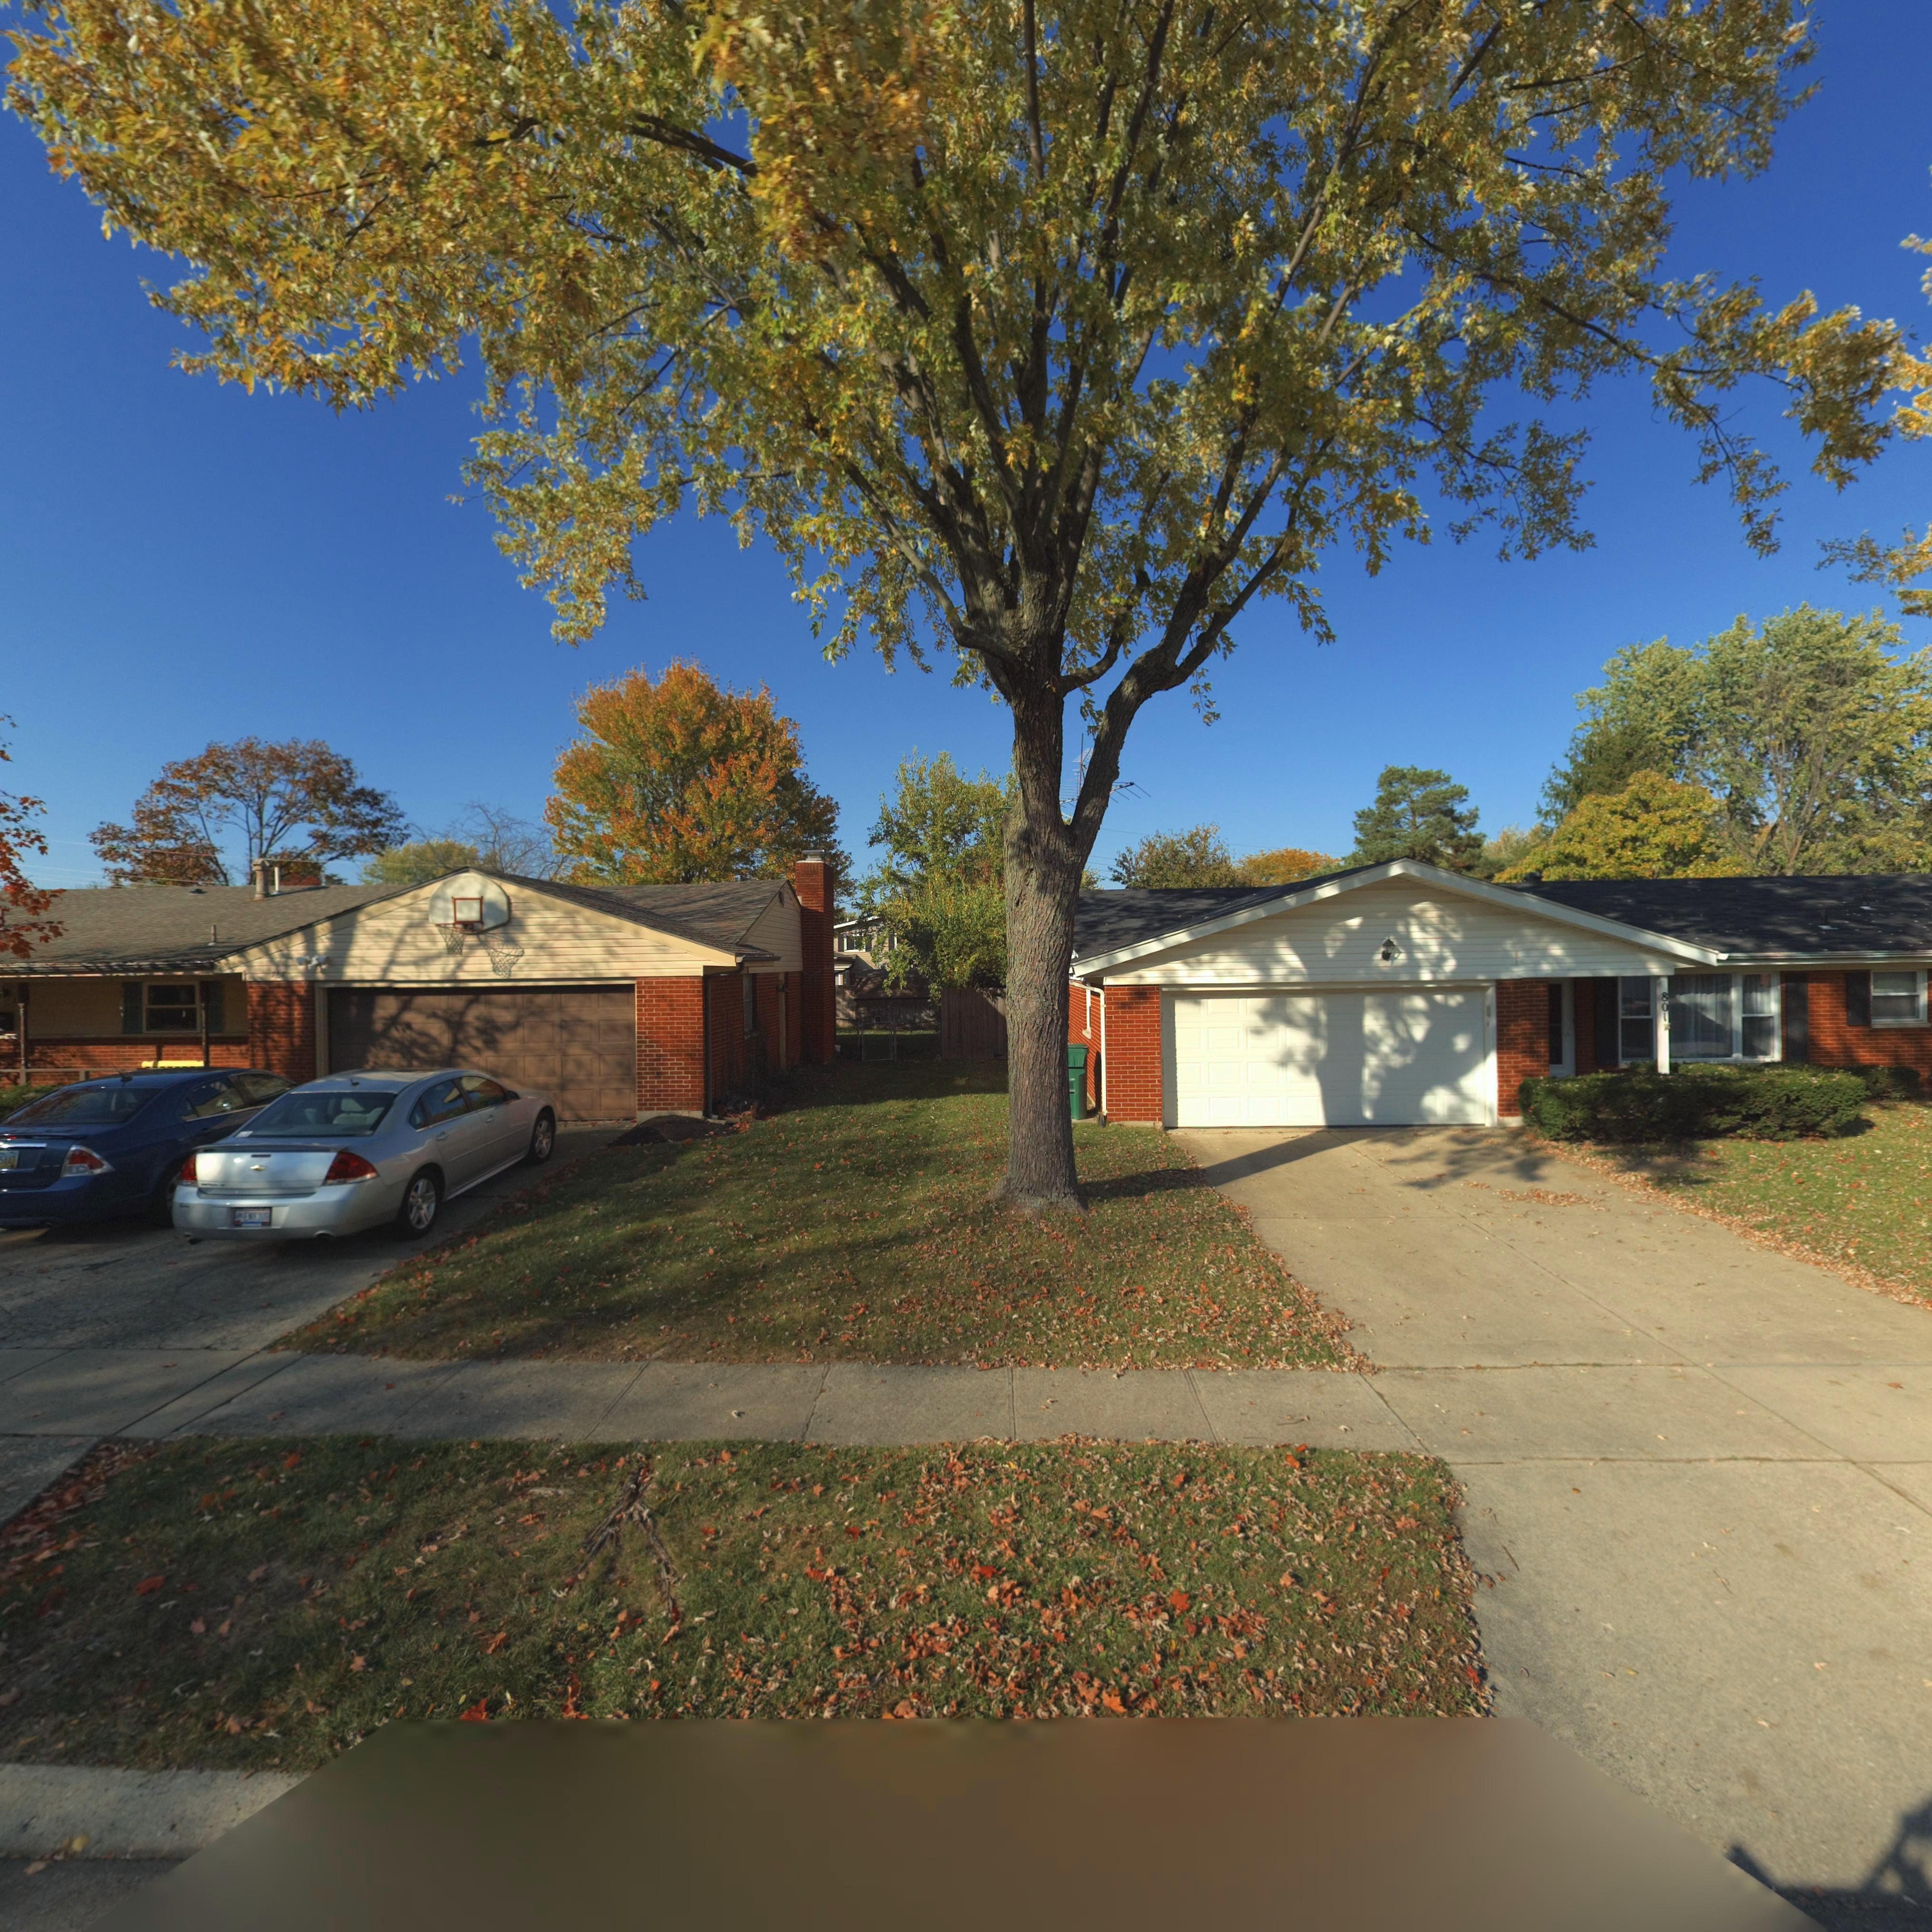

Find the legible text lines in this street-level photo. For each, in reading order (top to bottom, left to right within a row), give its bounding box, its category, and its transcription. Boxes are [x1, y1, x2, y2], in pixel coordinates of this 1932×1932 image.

[1660, 991, 1670, 1023] StreetNumber: 801